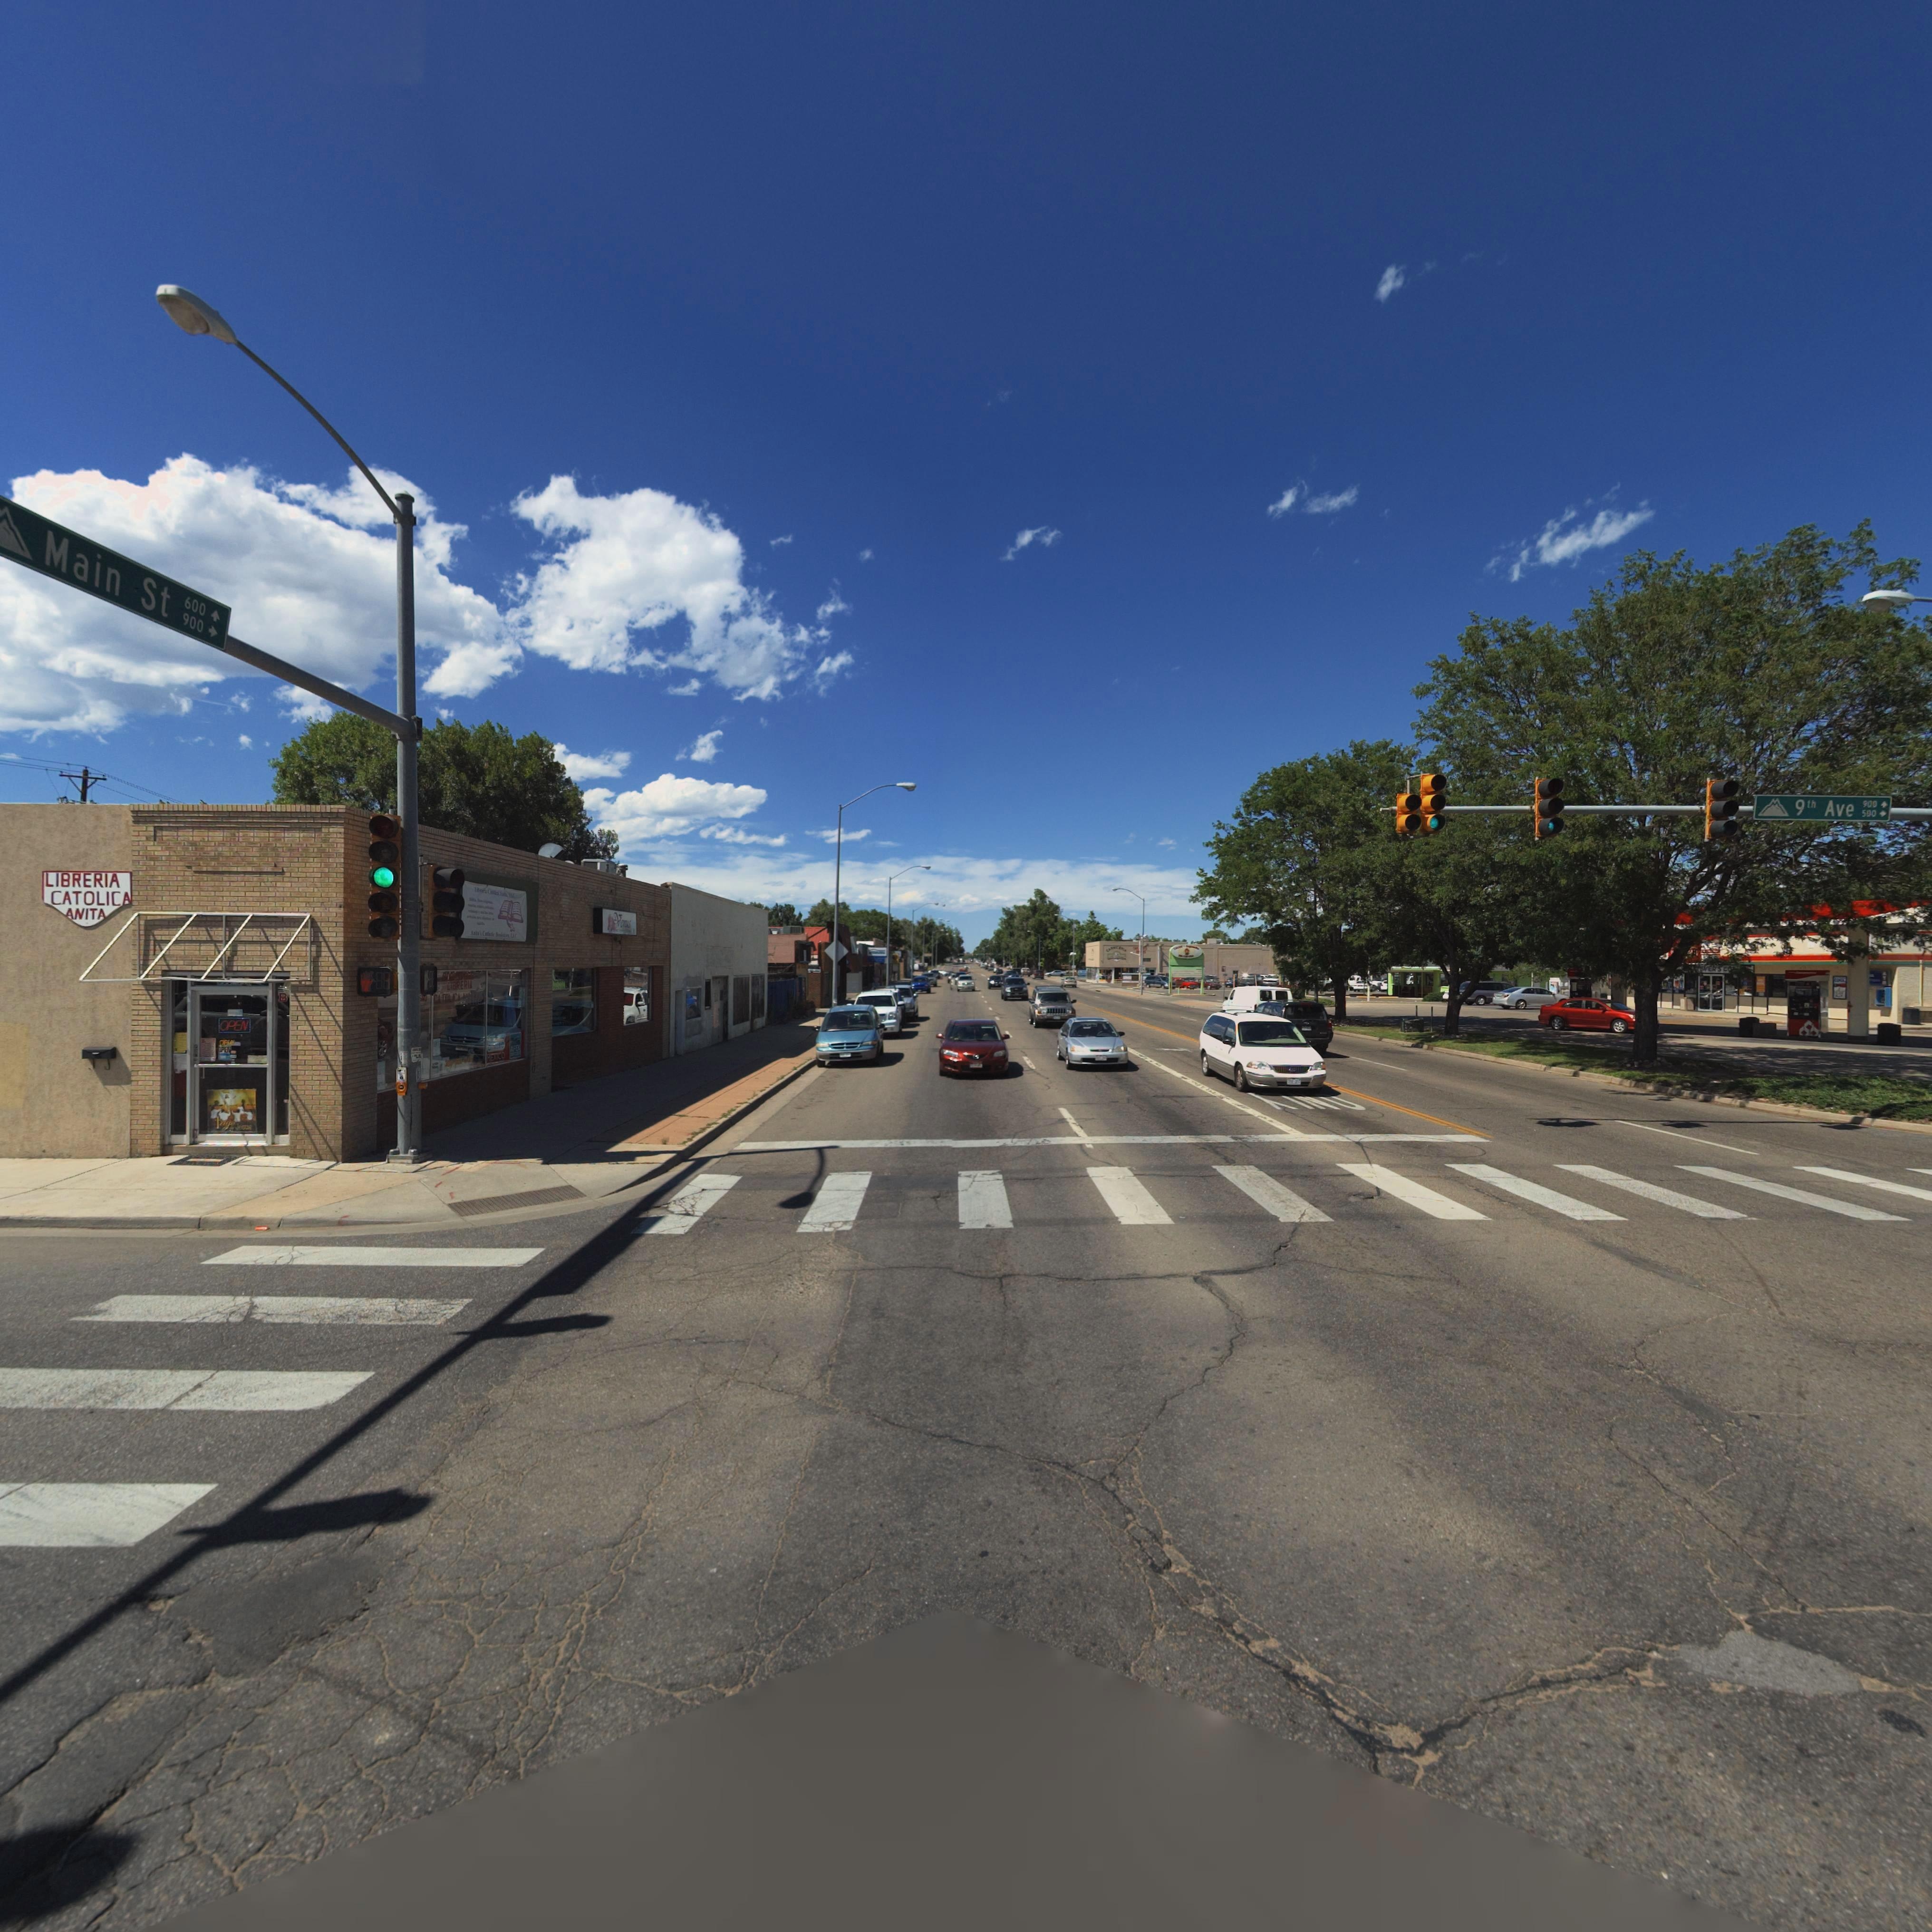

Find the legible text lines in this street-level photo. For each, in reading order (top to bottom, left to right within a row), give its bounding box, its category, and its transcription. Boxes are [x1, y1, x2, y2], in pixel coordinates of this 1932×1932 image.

[43, 528, 171, 619] StreetName: Main St
[184, 596, 206, 617] StreetNumberRange: 600
[182, 612, 218, 638] StreetNumberRange: 900->
[1795, 798, 1855, 818] StreetName: 9th Ave
[1862, 800, 1878, 808] StreetNumberRange: 900
[1862, 809, 1887, 817] StreetNumberRange: 500->
[45, 872, 121, 889] BusinessName: LIBRERIA
[50, 890, 131, 906] BusinessName: CATOLICA
[474, 886, 516, 899] BusinessName: ******** C******* ***** **C
[65, 907, 106, 920] BusinessName: ANITA
[615, 911, 631, 928] BusinessName: Ve**s
[470, 929, 517, 938] BusinessName: An***'* C****l*c ********* LLC
[1105, 946, 1127, 952] BusinessName: CA**CE***
[1172, 945, 1183, 950] BusinessName: T*CO*
[446, 979, 473, 991] BusinessName: LIBRERIA
[433, 993, 461, 1005] BusinessName: CATO*ICA